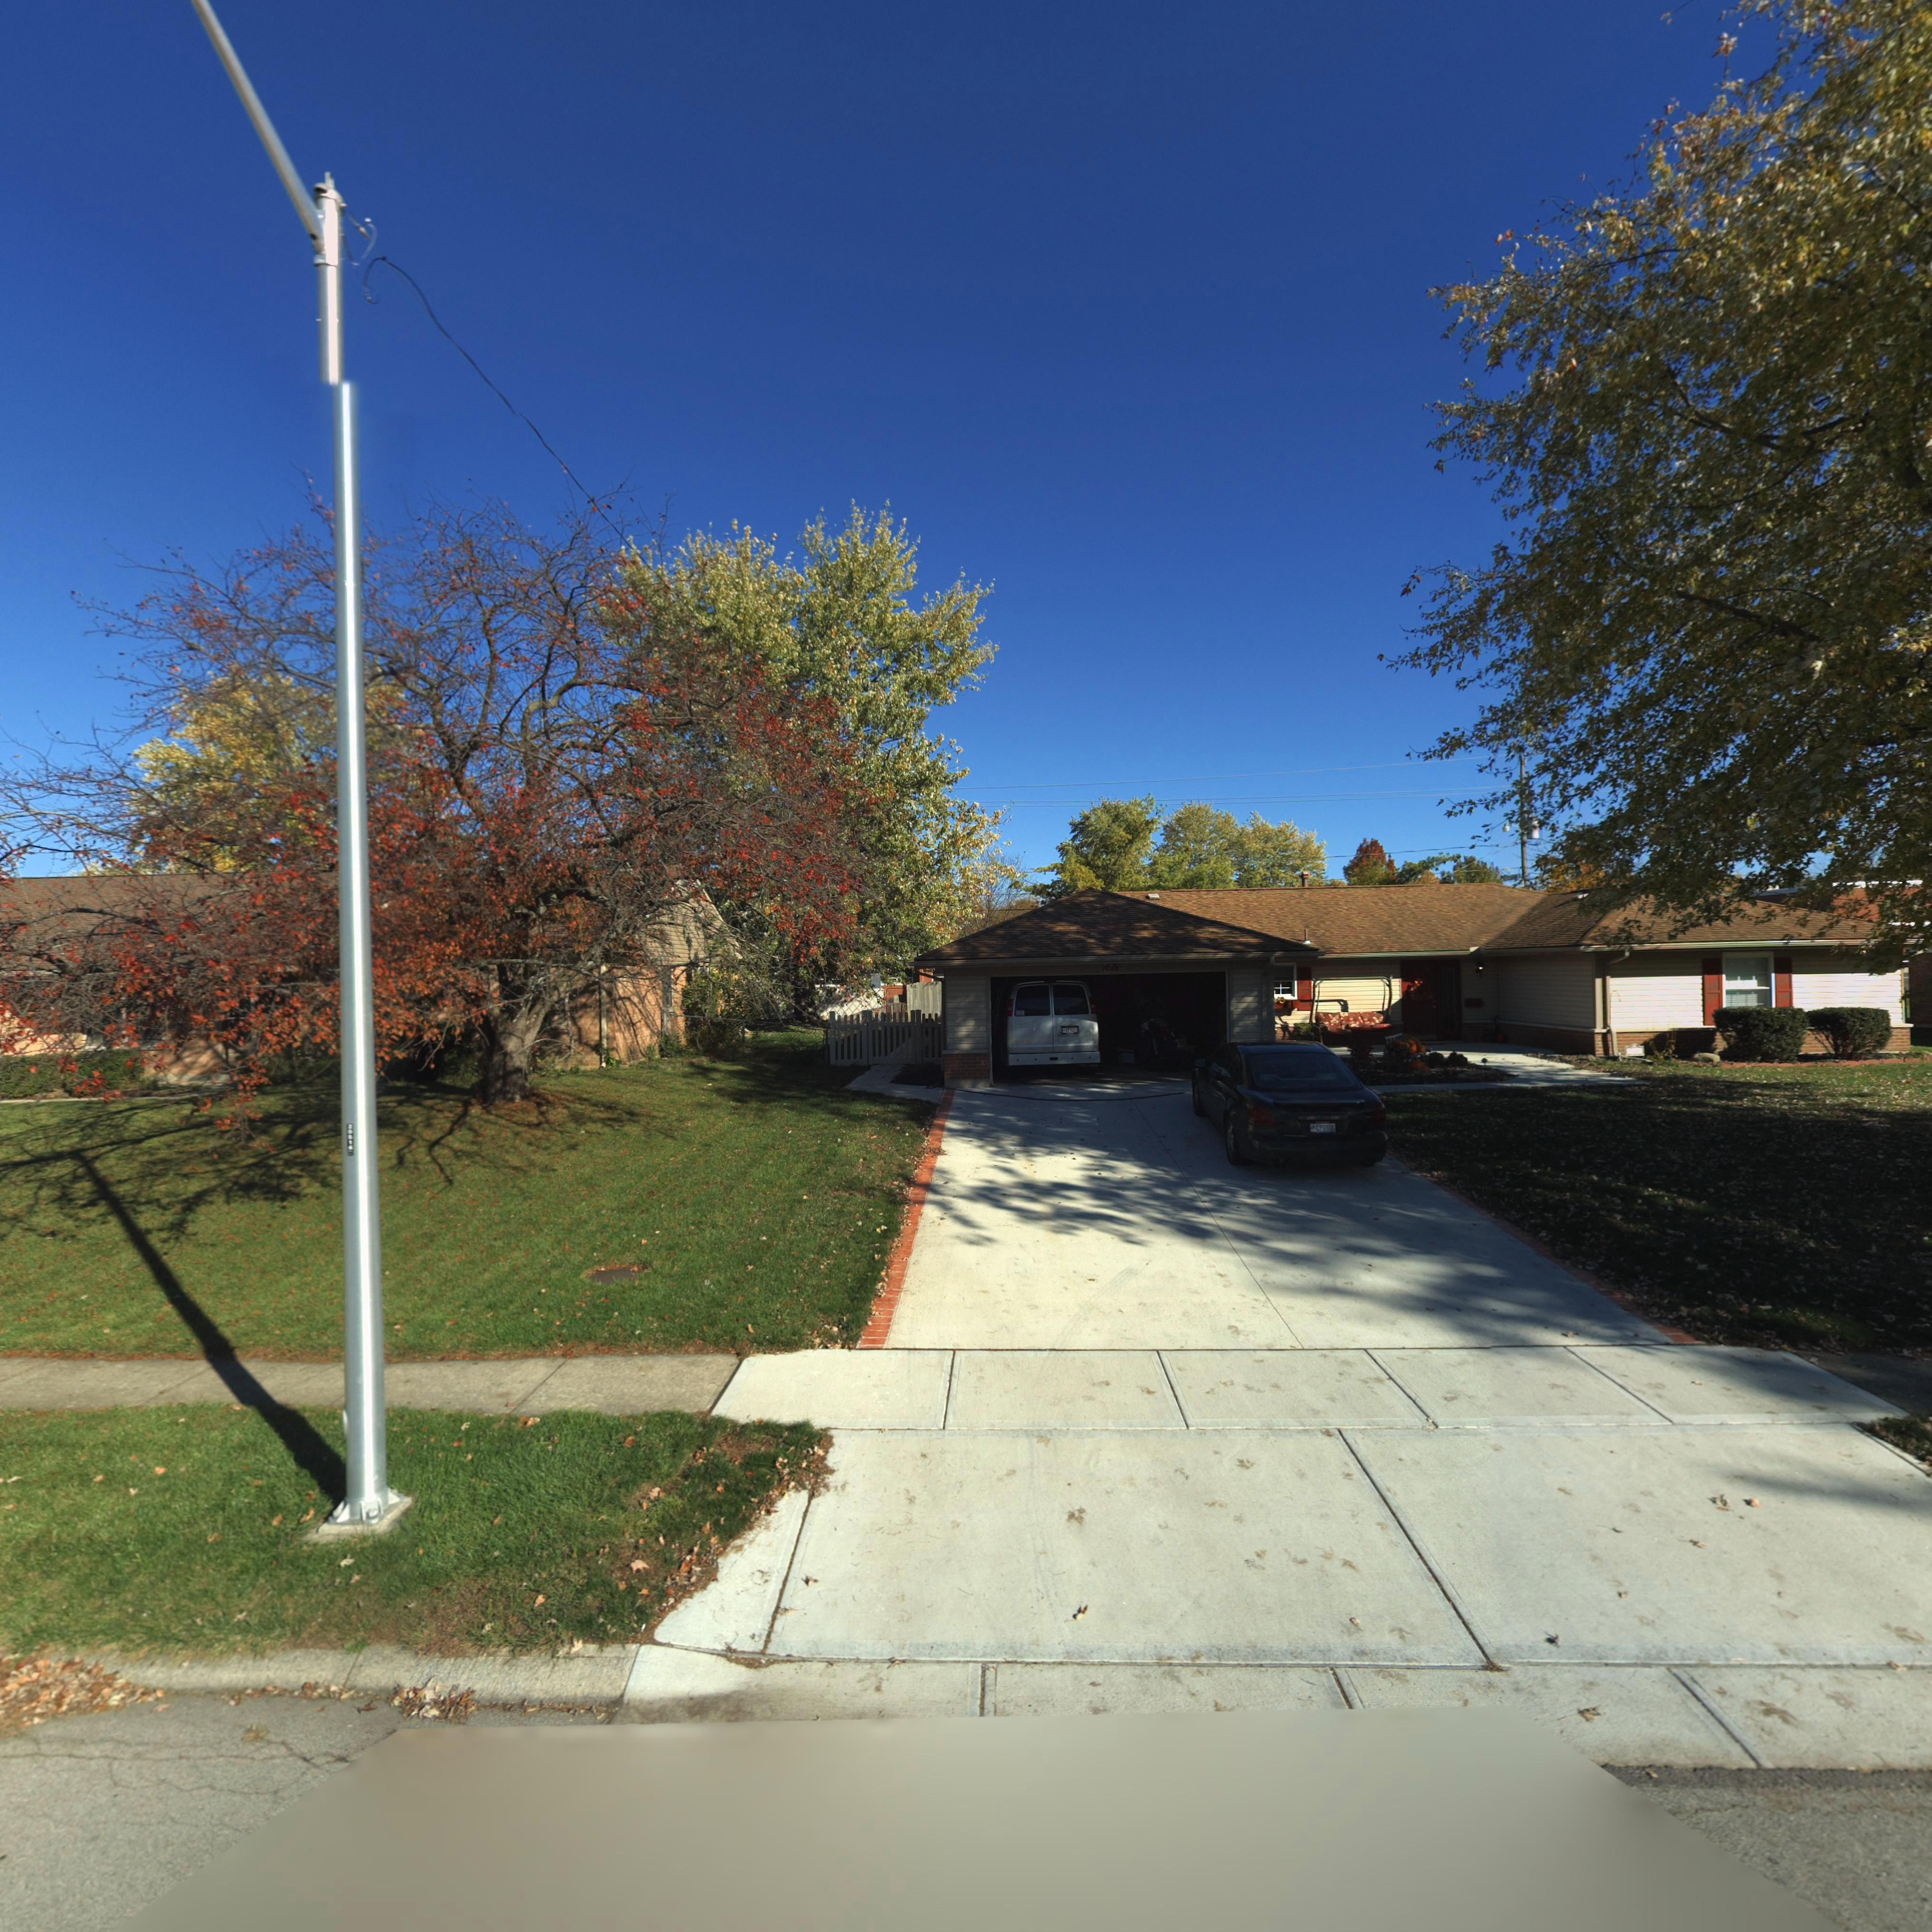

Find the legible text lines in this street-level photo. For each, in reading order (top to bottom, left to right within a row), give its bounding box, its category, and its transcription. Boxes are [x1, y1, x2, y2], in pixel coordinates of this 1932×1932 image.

[1101, 965, 1119, 972] StreetNumber: 7018